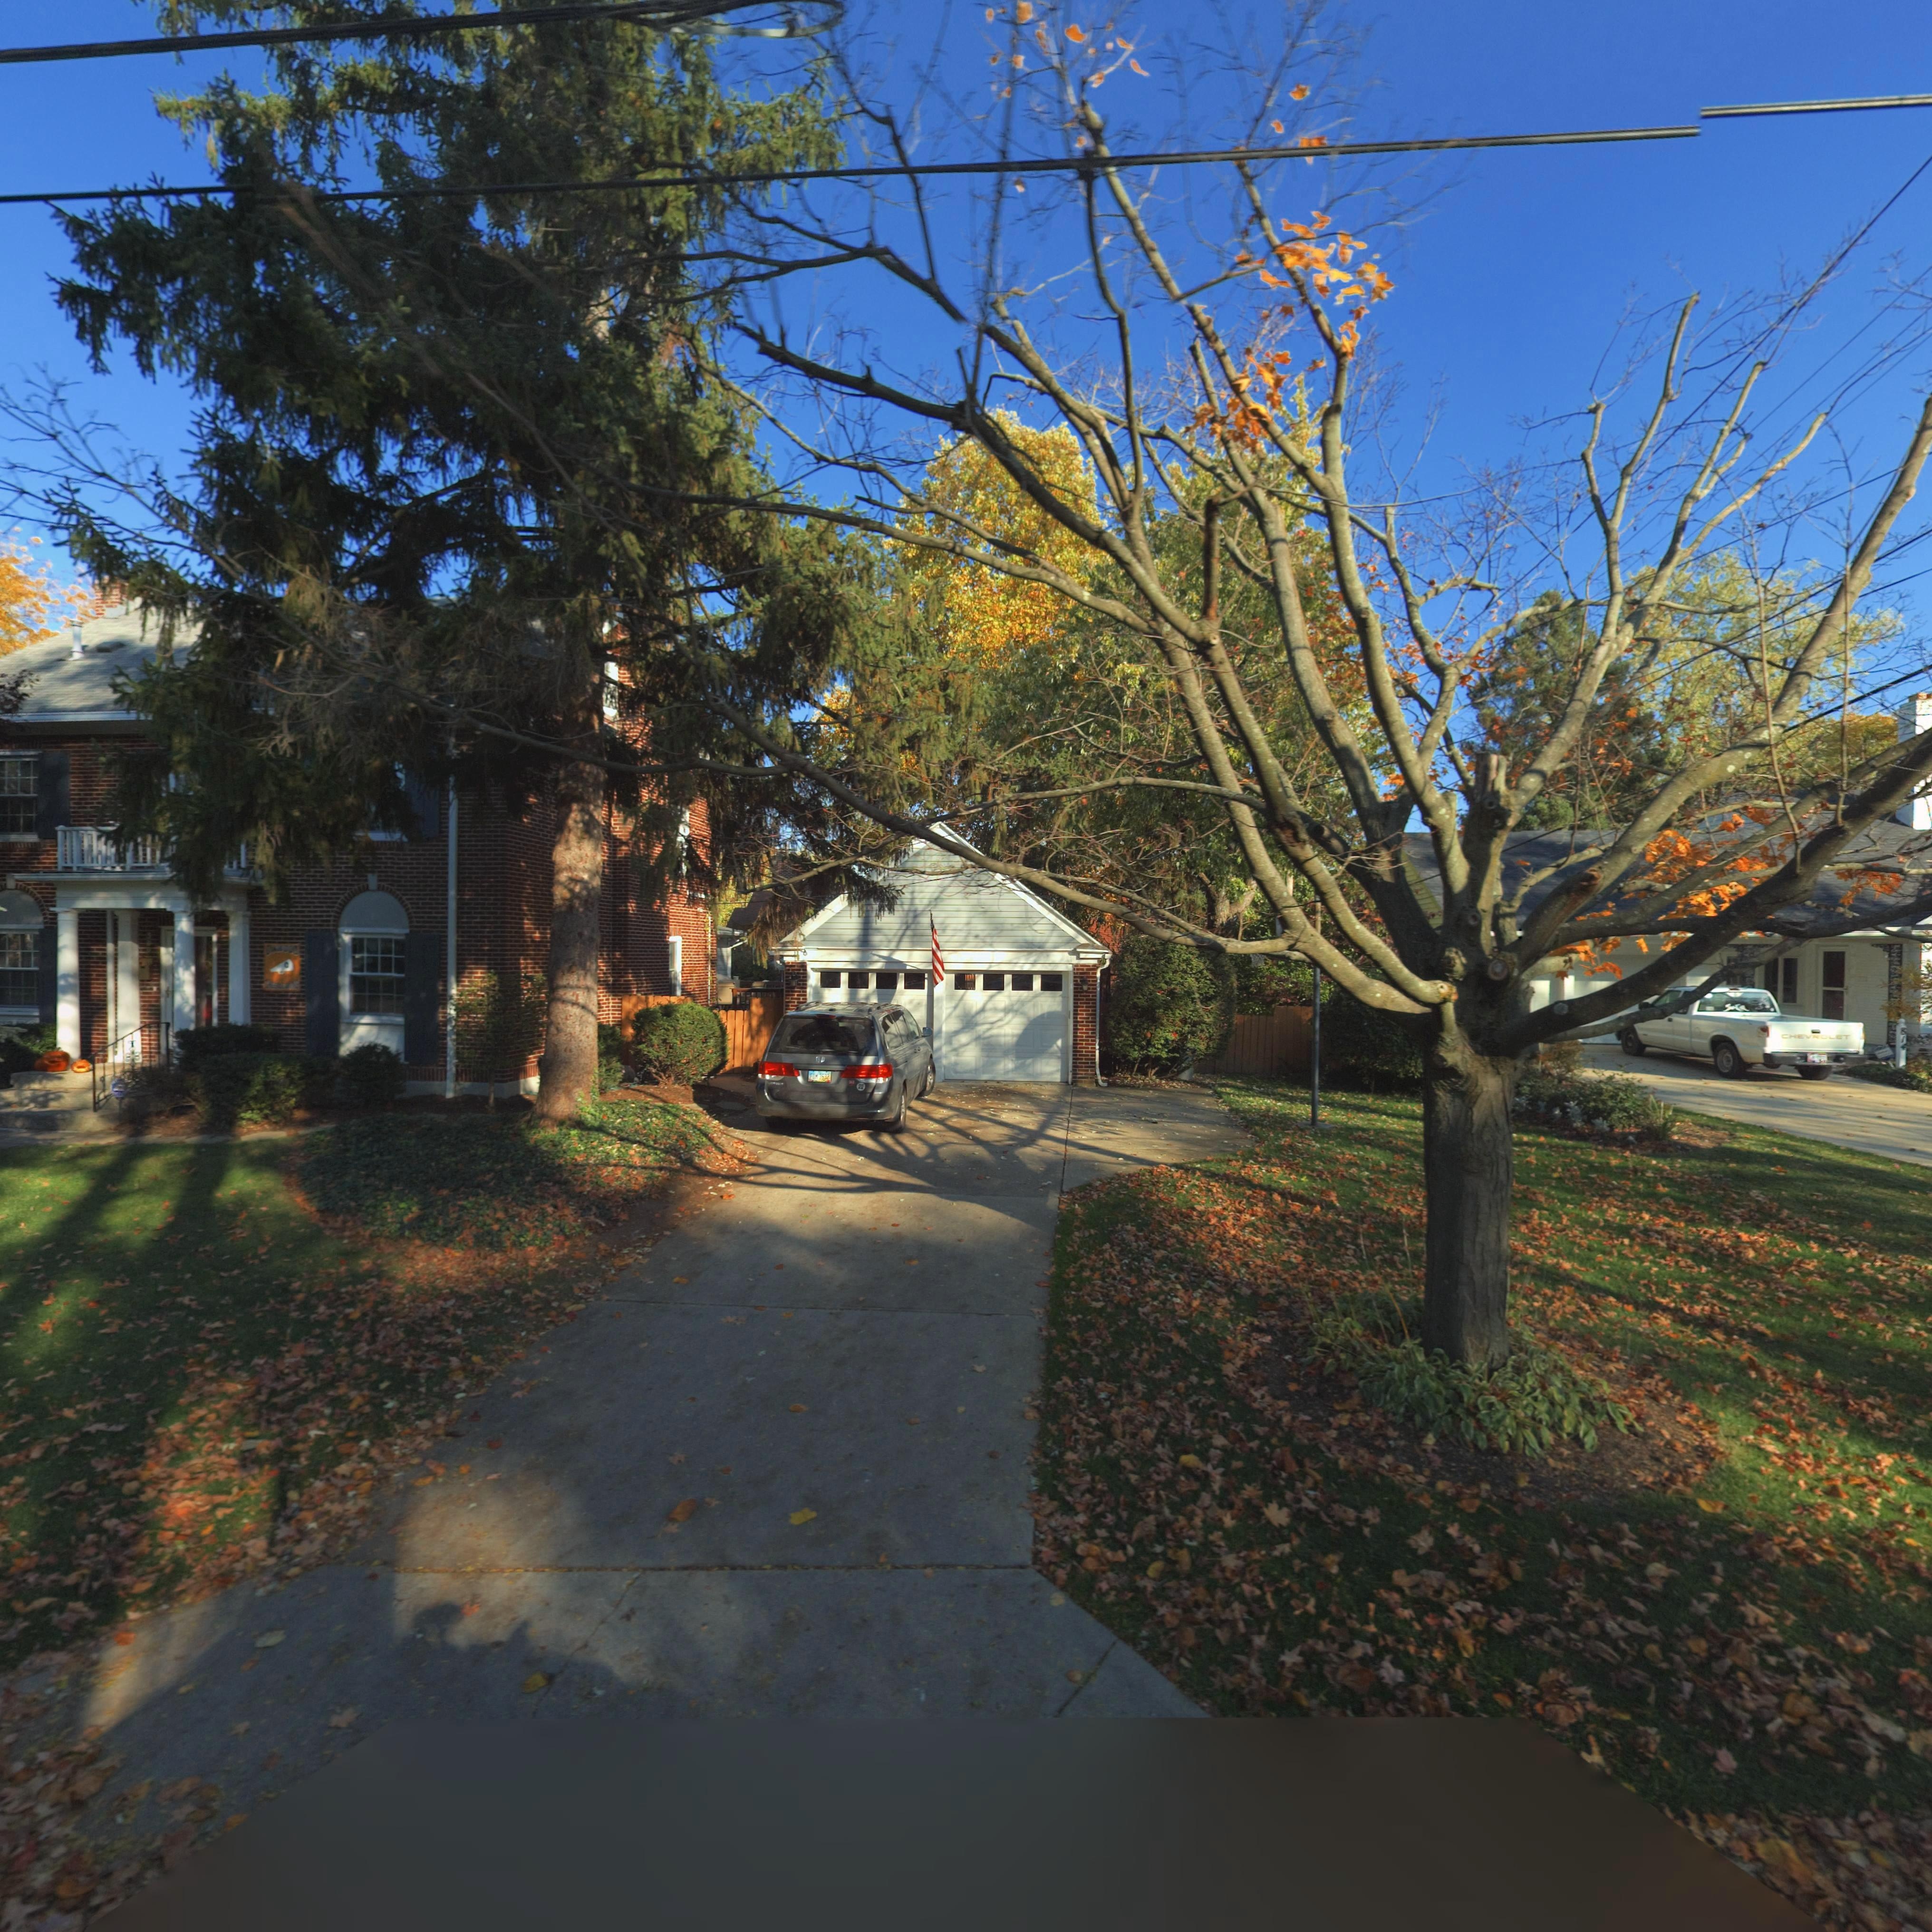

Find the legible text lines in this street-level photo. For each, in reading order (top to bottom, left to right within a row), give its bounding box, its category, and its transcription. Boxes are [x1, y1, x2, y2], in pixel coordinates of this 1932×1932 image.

[1900, 1027, 1907, 1051] StreetNumber: 814